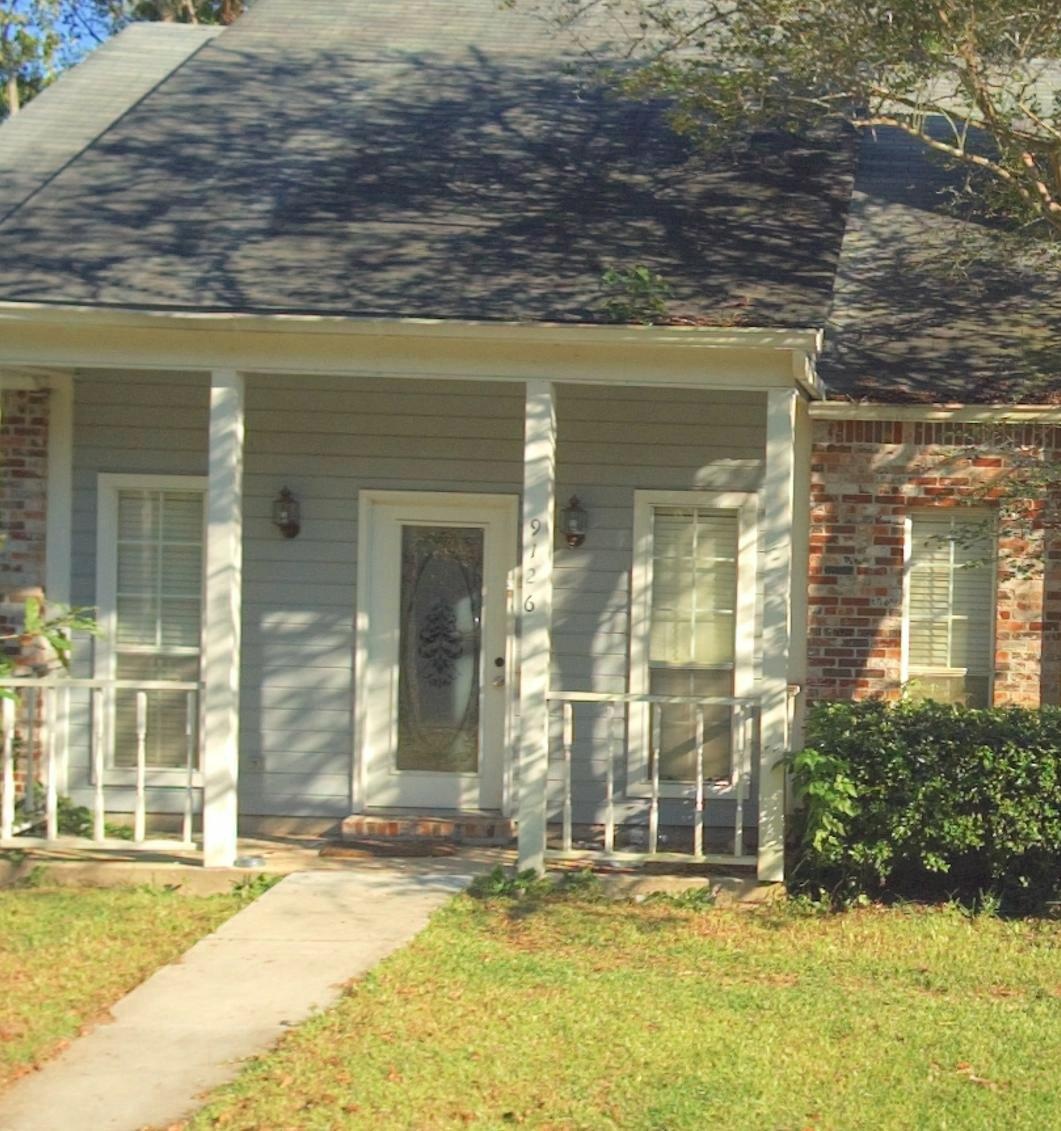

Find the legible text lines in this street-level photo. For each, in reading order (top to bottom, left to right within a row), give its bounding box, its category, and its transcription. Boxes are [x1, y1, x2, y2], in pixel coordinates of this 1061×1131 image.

[524, 514, 542, 613] StreetNumber: 9126